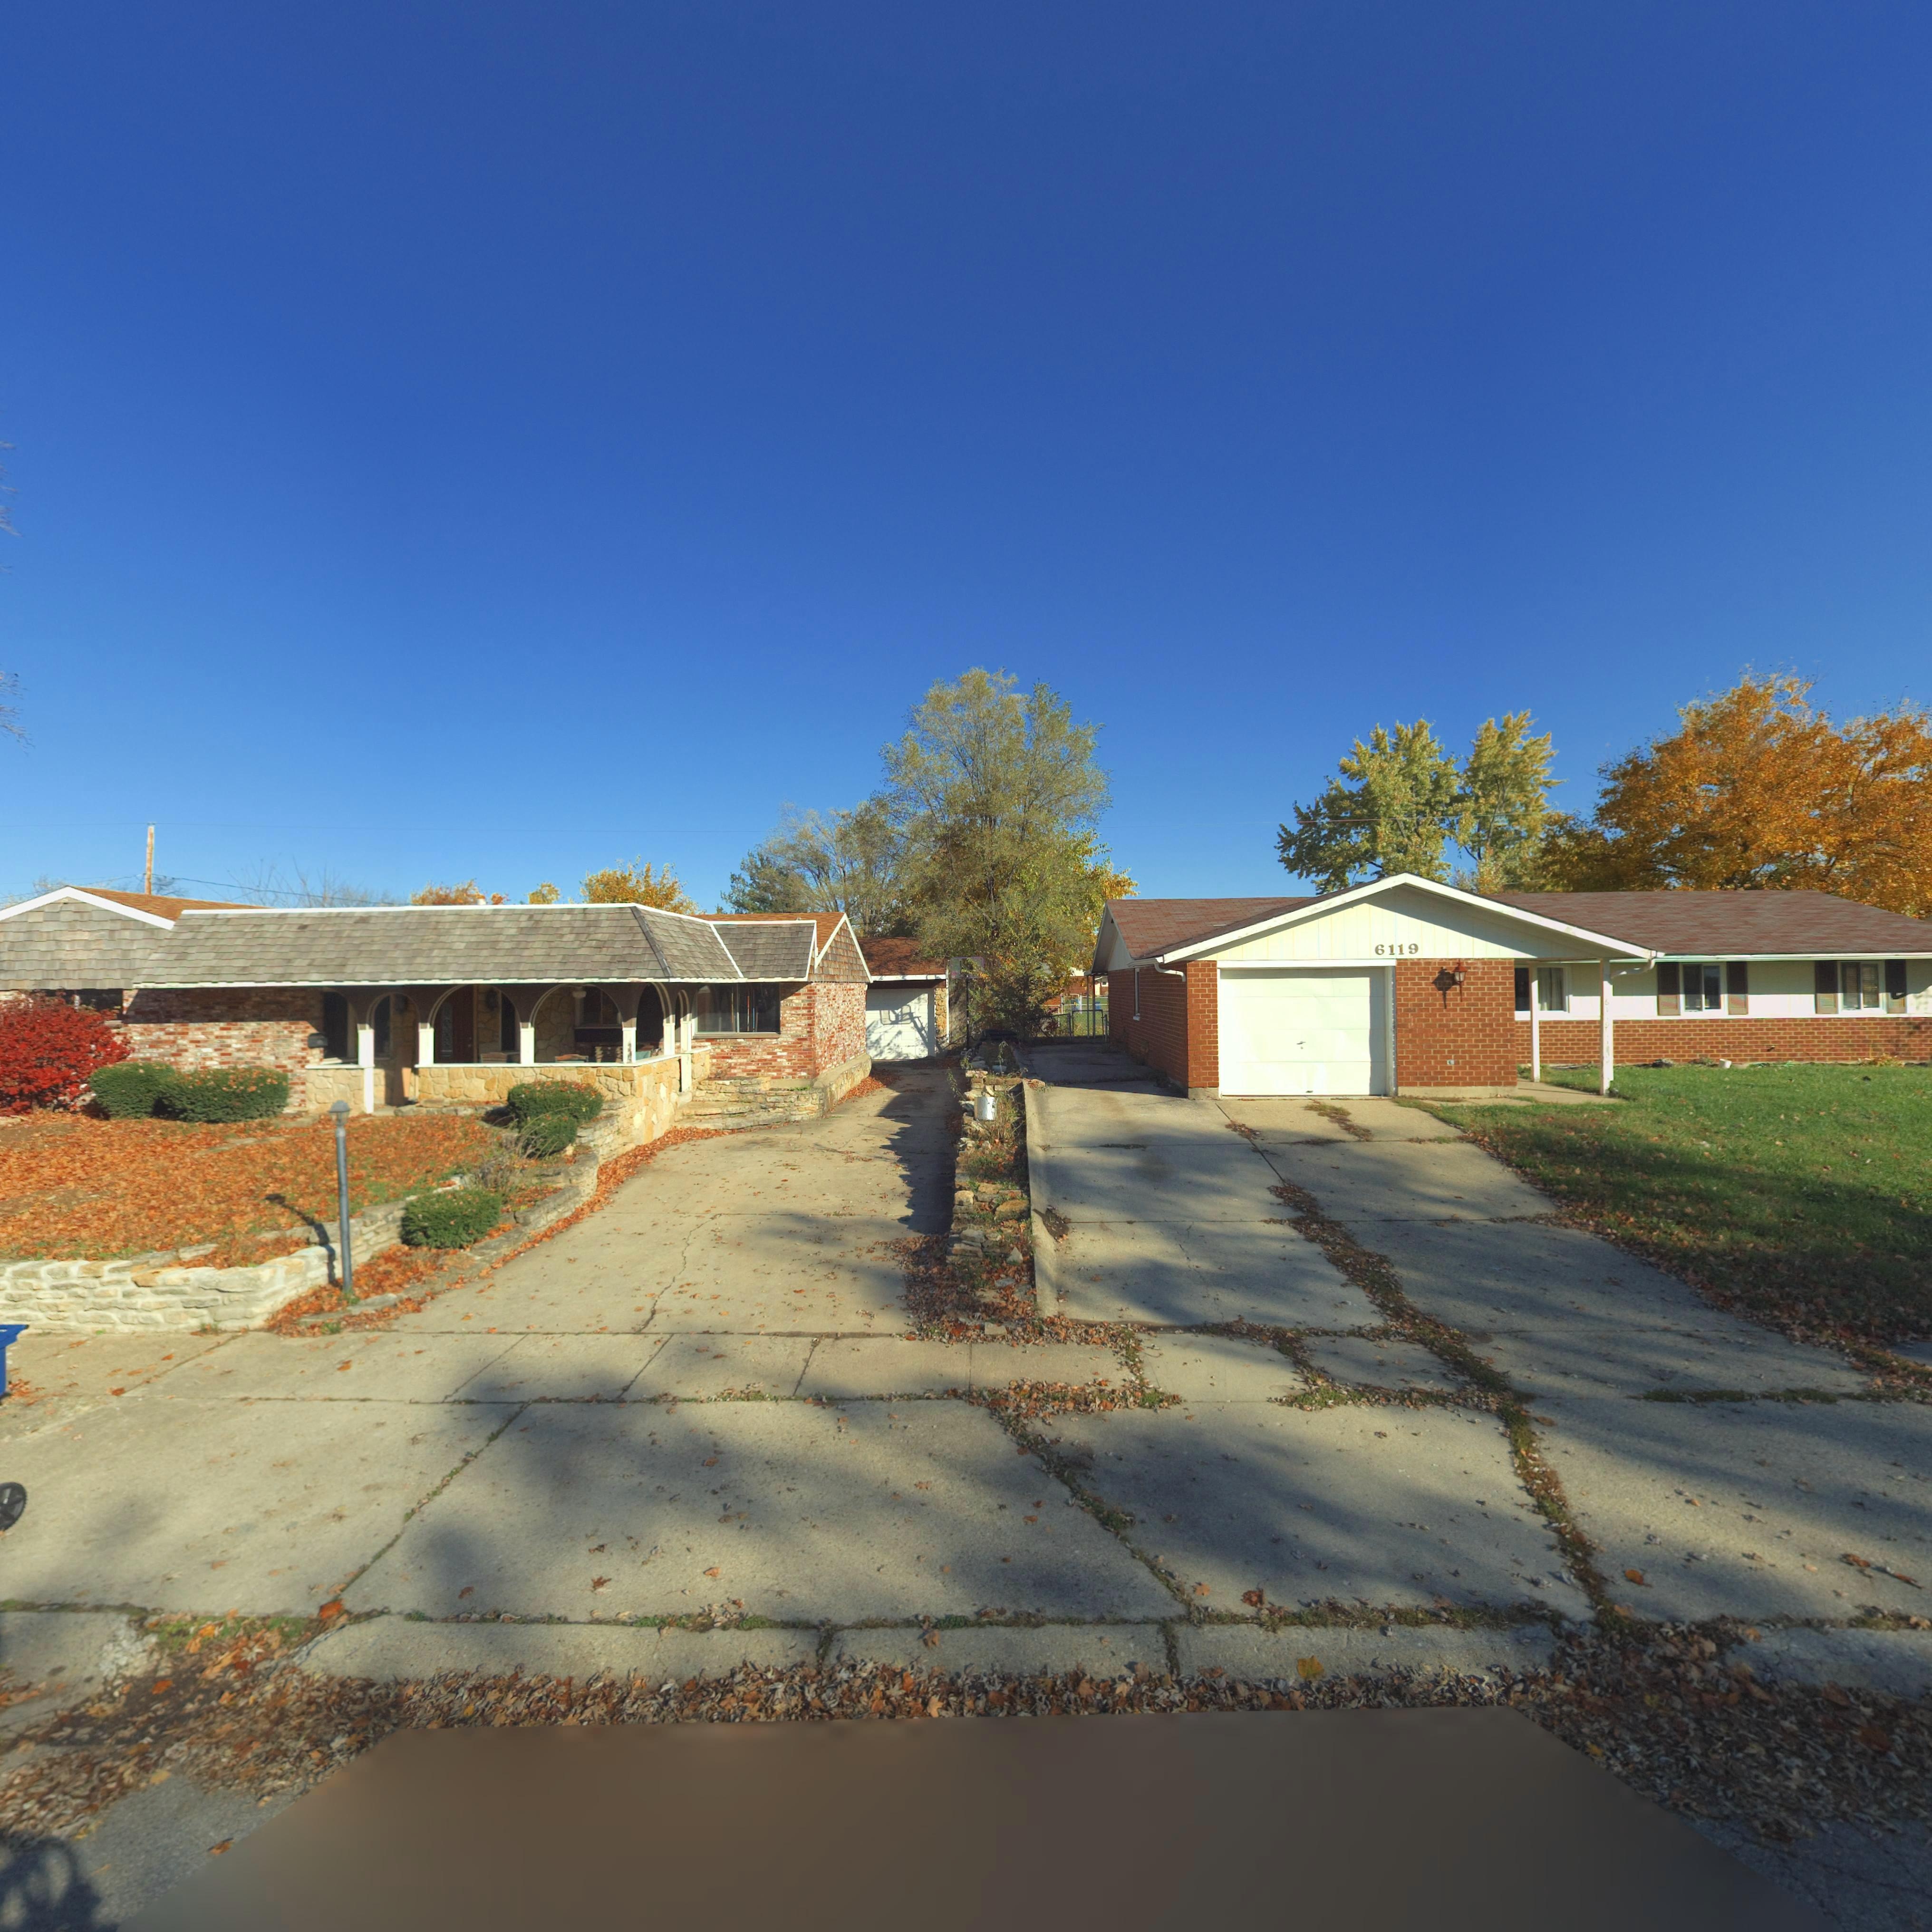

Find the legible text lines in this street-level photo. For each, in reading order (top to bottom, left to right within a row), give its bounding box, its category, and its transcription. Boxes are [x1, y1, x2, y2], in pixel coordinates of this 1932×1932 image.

[1374, 943, 1419, 956] StreetNumber: 6119